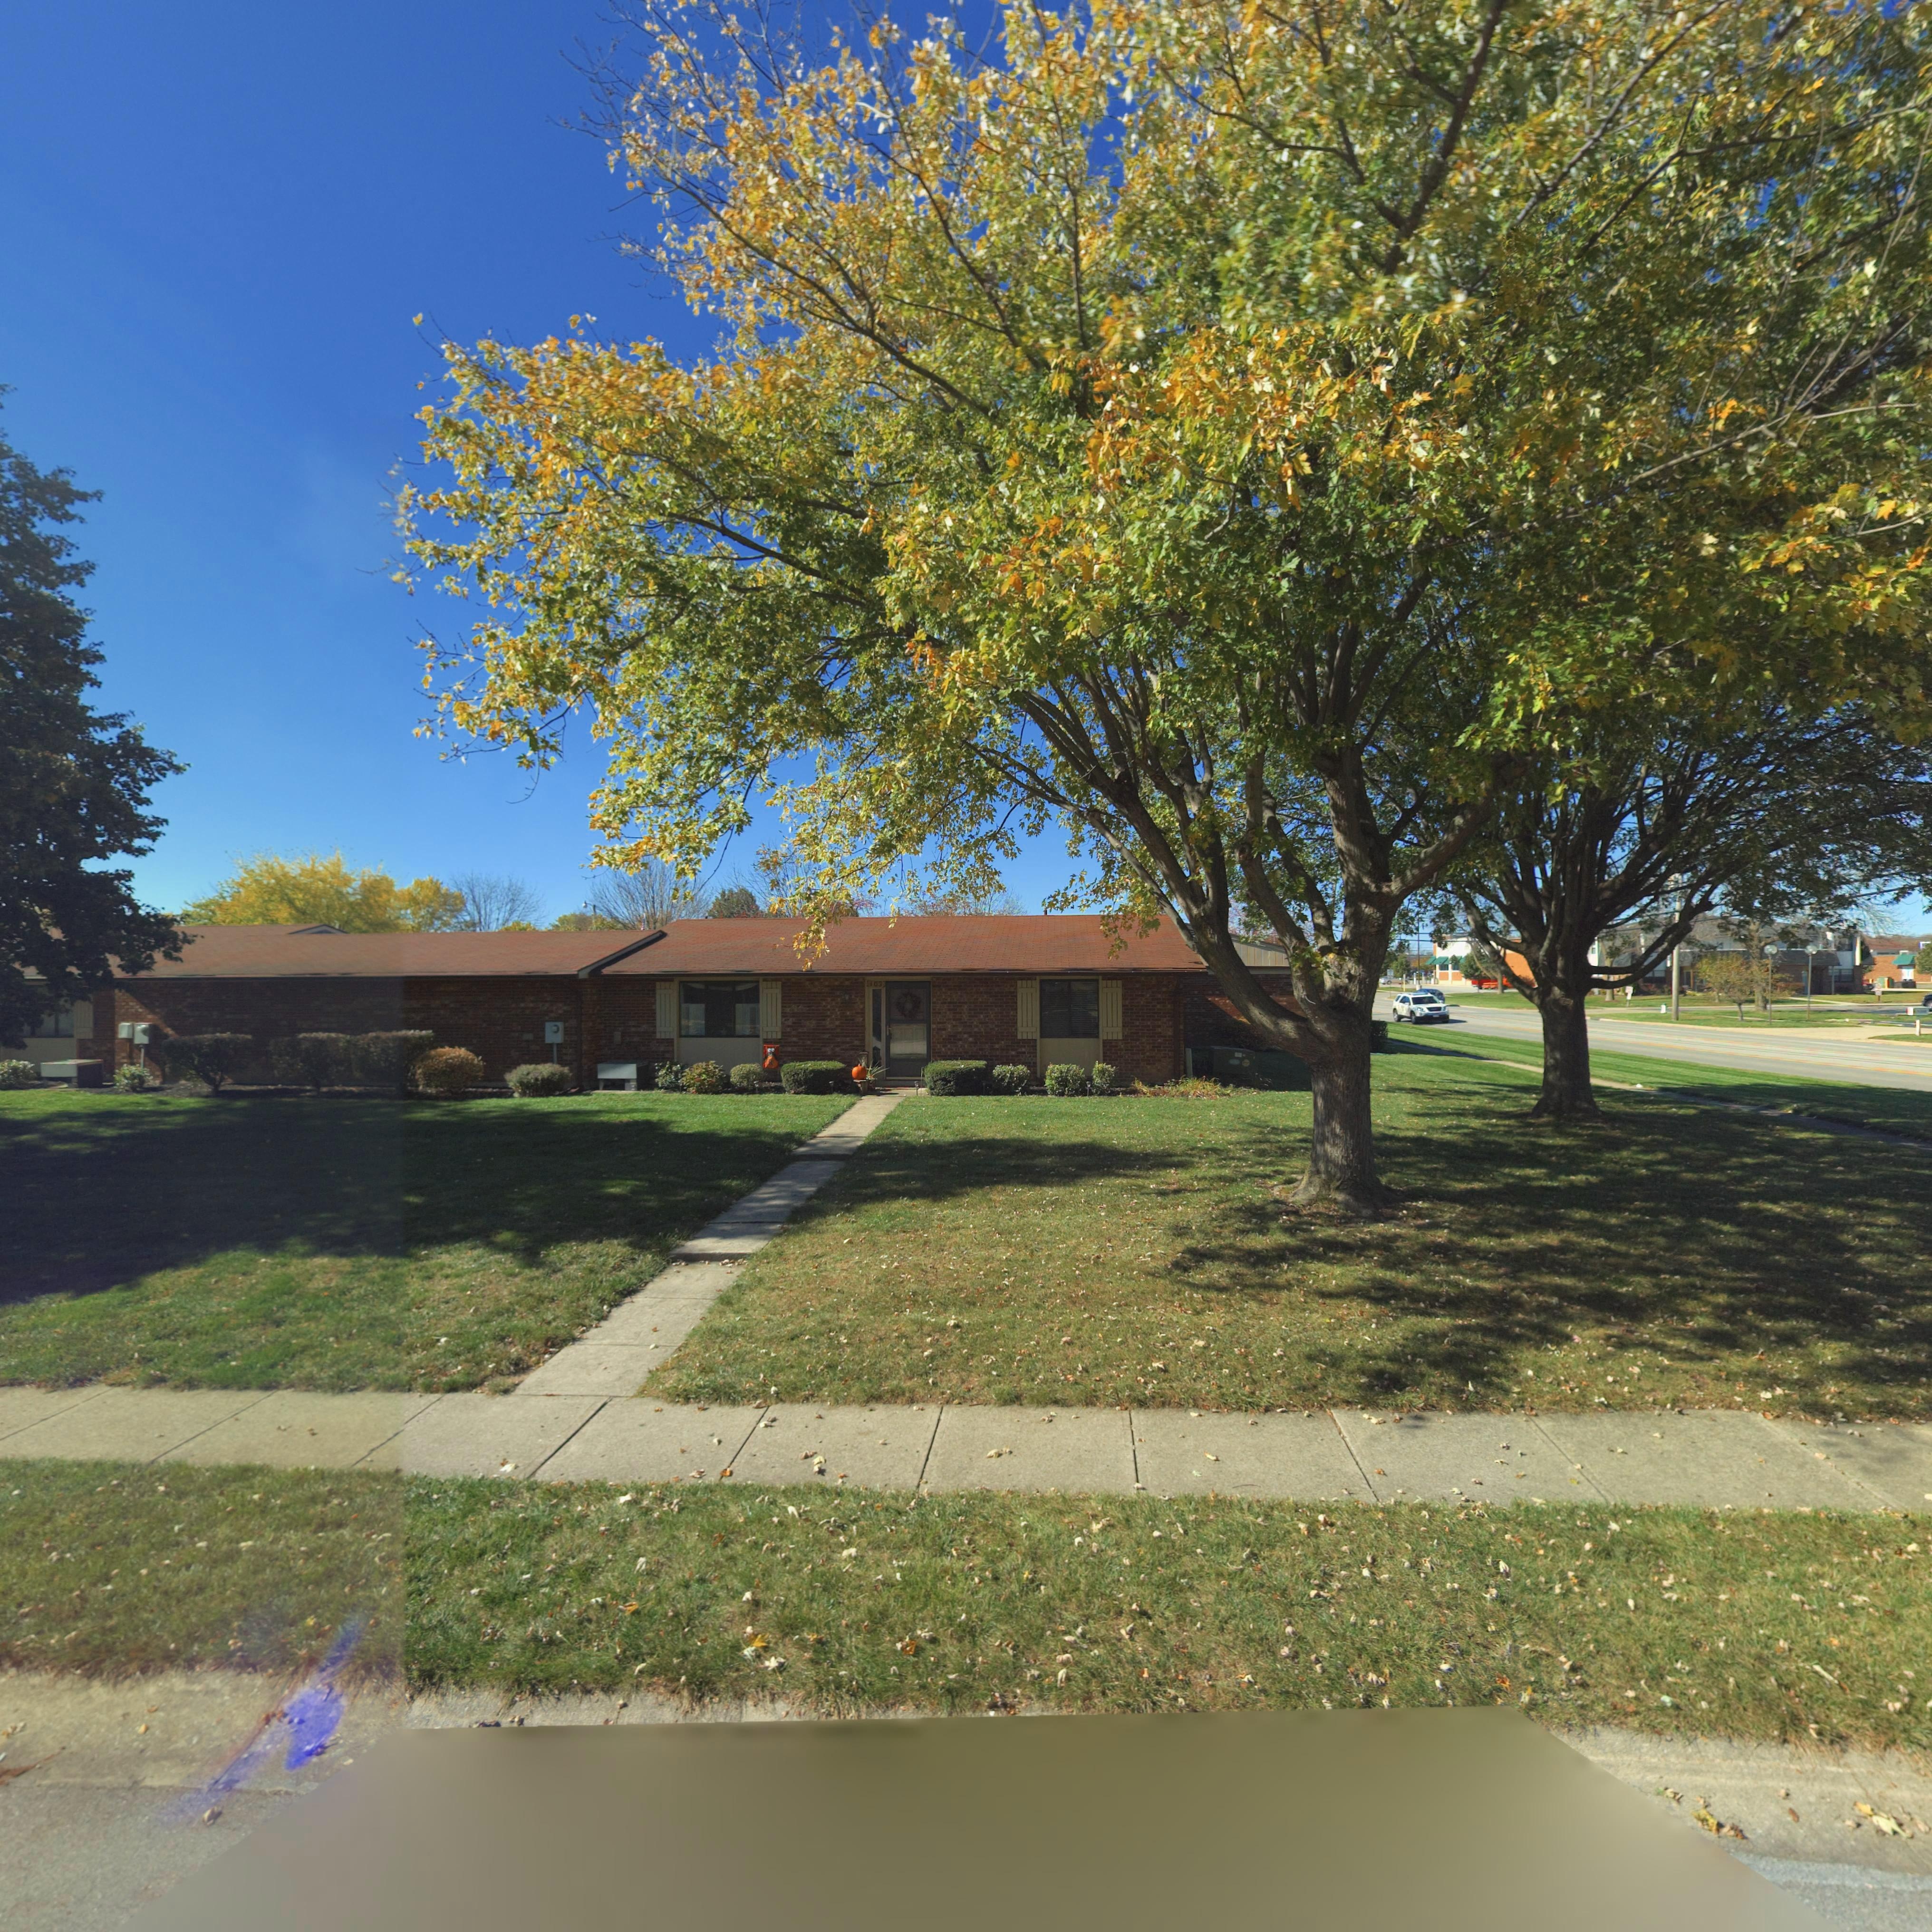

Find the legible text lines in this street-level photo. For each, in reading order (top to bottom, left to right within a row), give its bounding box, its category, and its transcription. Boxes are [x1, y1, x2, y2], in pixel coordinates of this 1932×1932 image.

[869, 980, 883, 987] StreetNumber: 103